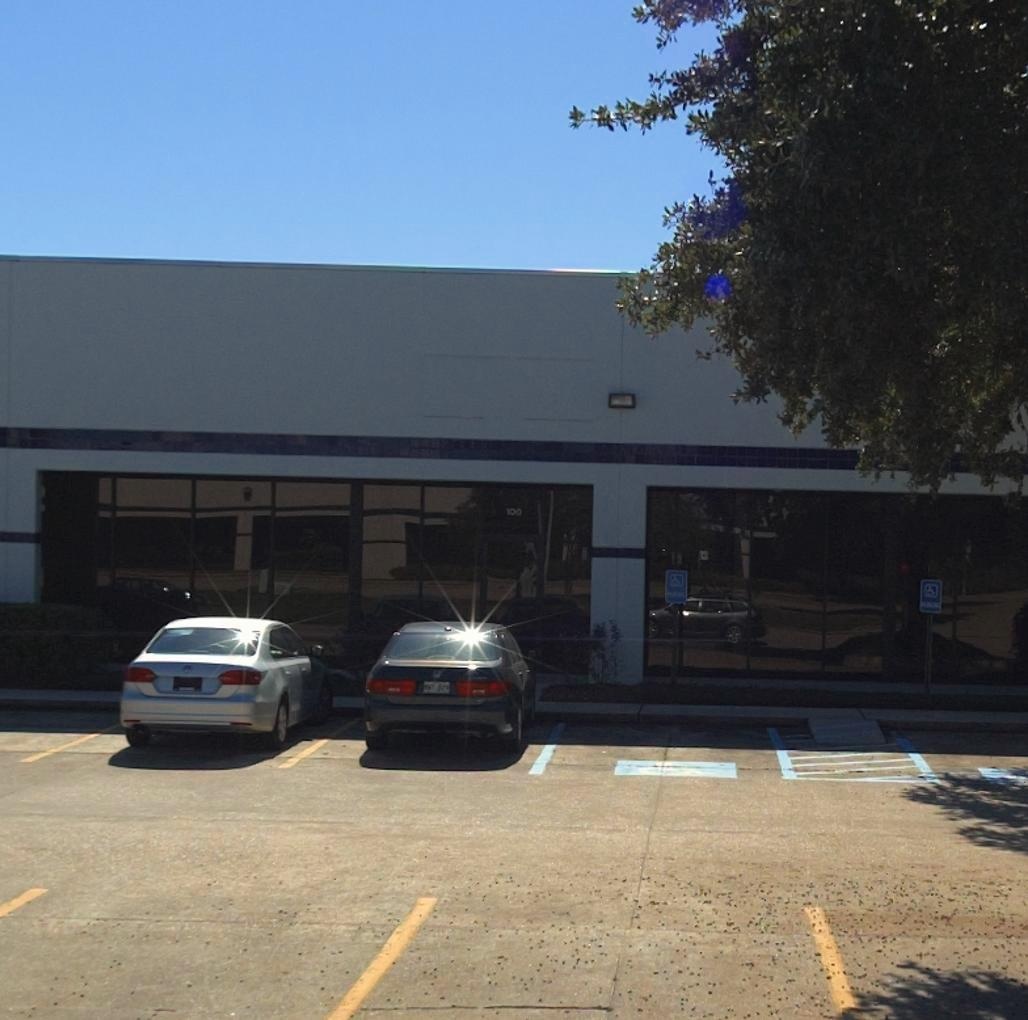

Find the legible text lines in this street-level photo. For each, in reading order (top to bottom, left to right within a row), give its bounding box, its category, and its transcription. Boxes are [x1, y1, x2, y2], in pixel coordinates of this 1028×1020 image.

[505, 507, 523, 517] StreetNumber: 100
[920, 601, 941, 608] None: PARKING